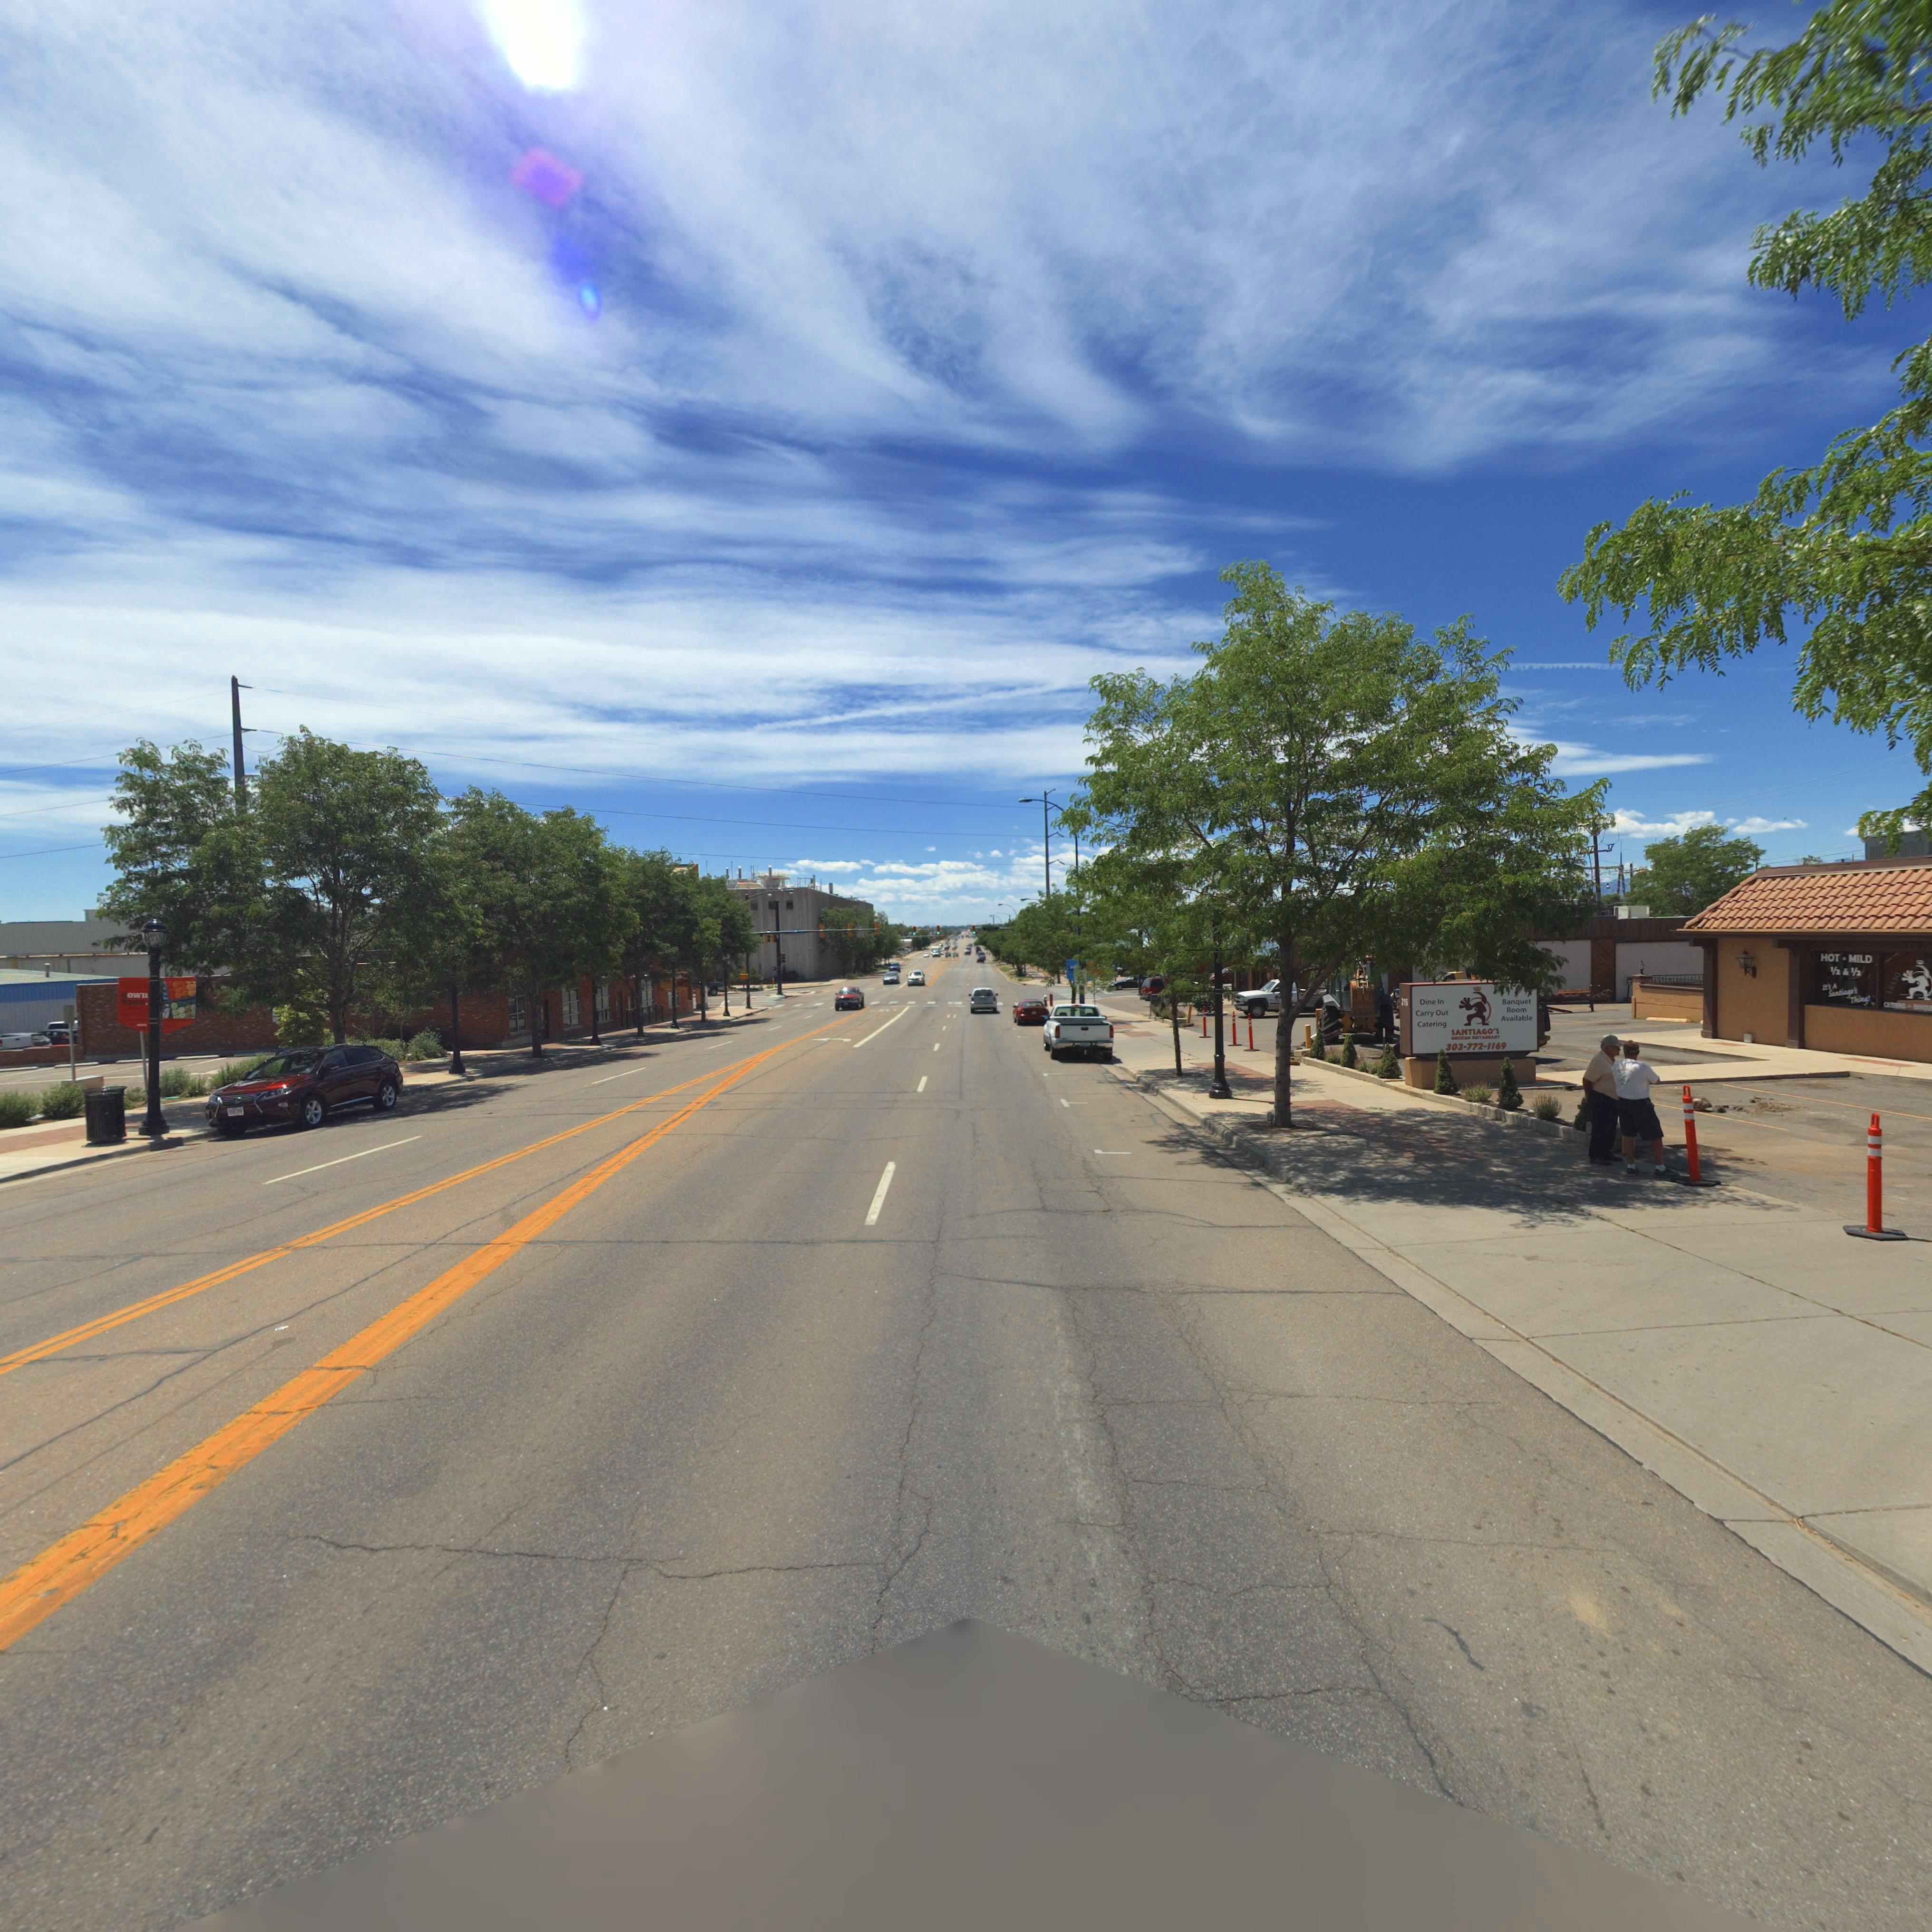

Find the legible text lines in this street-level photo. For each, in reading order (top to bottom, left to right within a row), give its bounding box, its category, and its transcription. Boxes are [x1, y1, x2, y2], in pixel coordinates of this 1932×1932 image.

[1827, 986, 1858, 999] BusinessName: Santiago's
[1401, 997, 1409, 1006] StreetNumber: 215
[1450, 1027, 1499, 1035] BusinessName: SANTIAGO'S